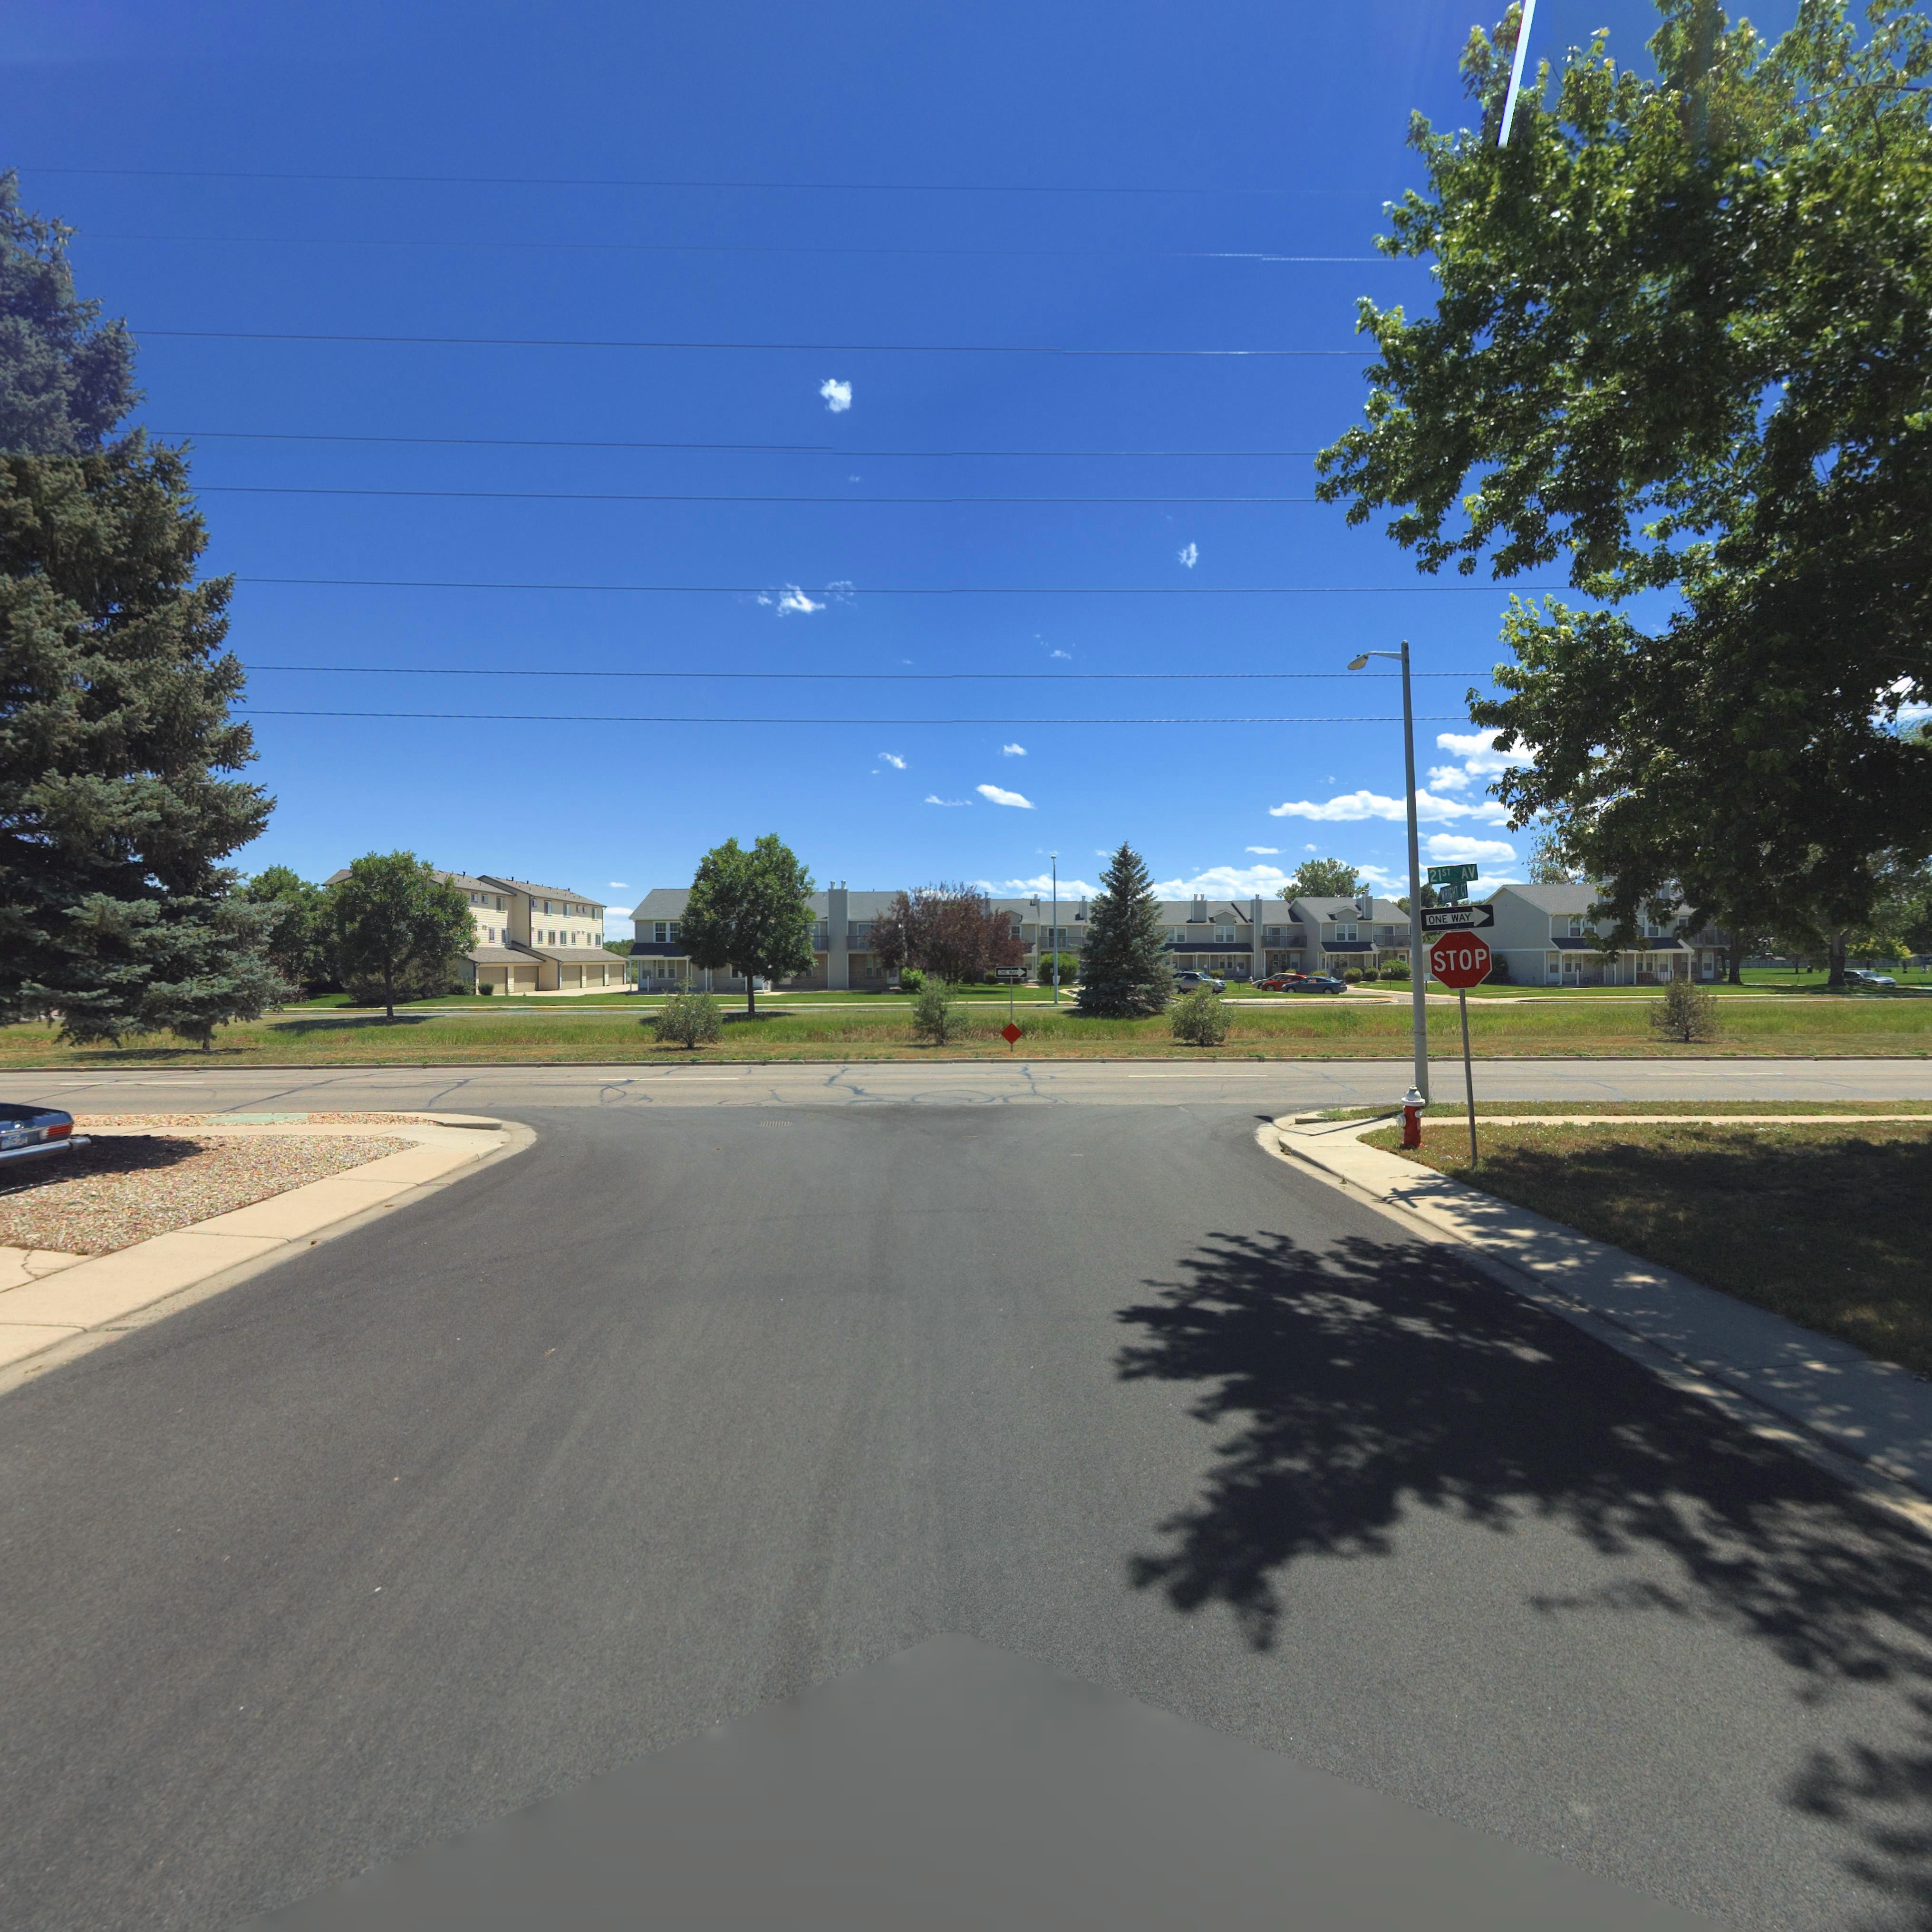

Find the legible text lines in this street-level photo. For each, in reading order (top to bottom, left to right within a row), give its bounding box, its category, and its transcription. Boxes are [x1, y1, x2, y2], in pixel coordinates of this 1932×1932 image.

[1429, 865, 1476, 882] StreetName: 21ST AV
[1440, 883, 1467, 901] StreetName: WRIGHT CT